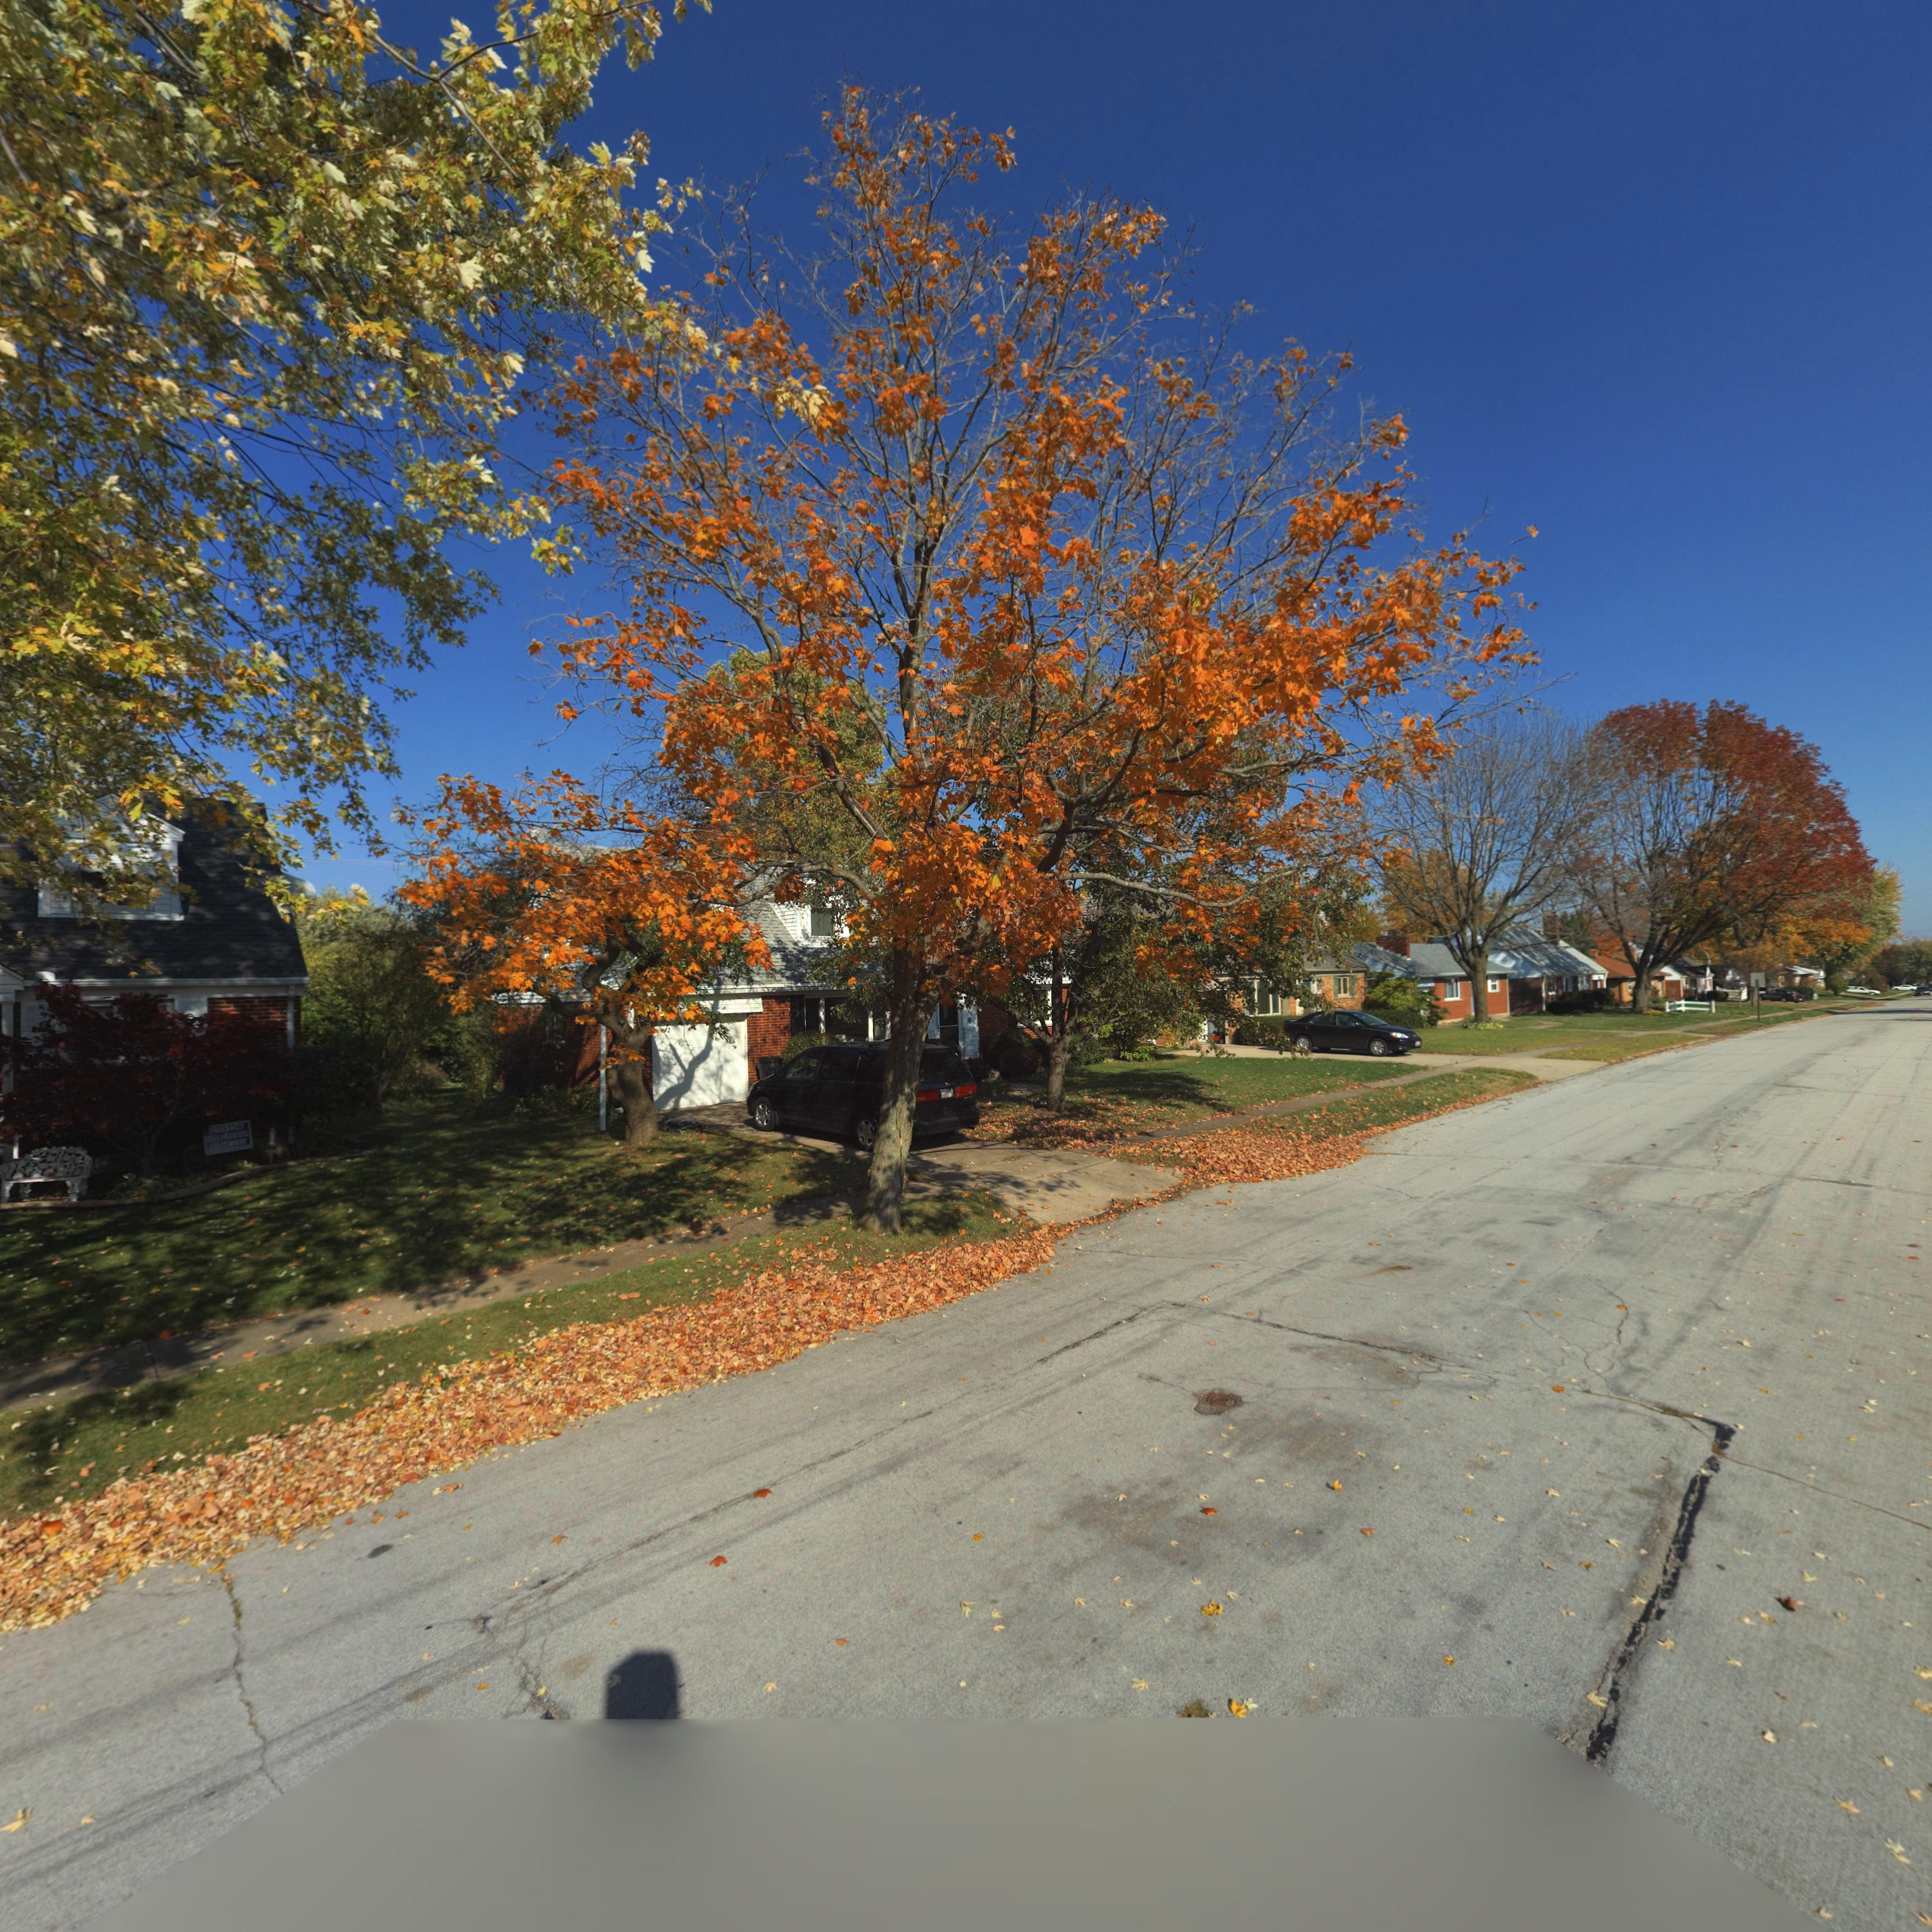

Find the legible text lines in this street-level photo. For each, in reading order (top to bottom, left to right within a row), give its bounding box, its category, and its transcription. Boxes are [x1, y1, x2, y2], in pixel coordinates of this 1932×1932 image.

[208, 1121, 246, 1135] None: PROTECT
[205, 1129, 250, 1144] None: *ELIGIOUS
[209, 1137, 248, 1151] None: ***EDOM